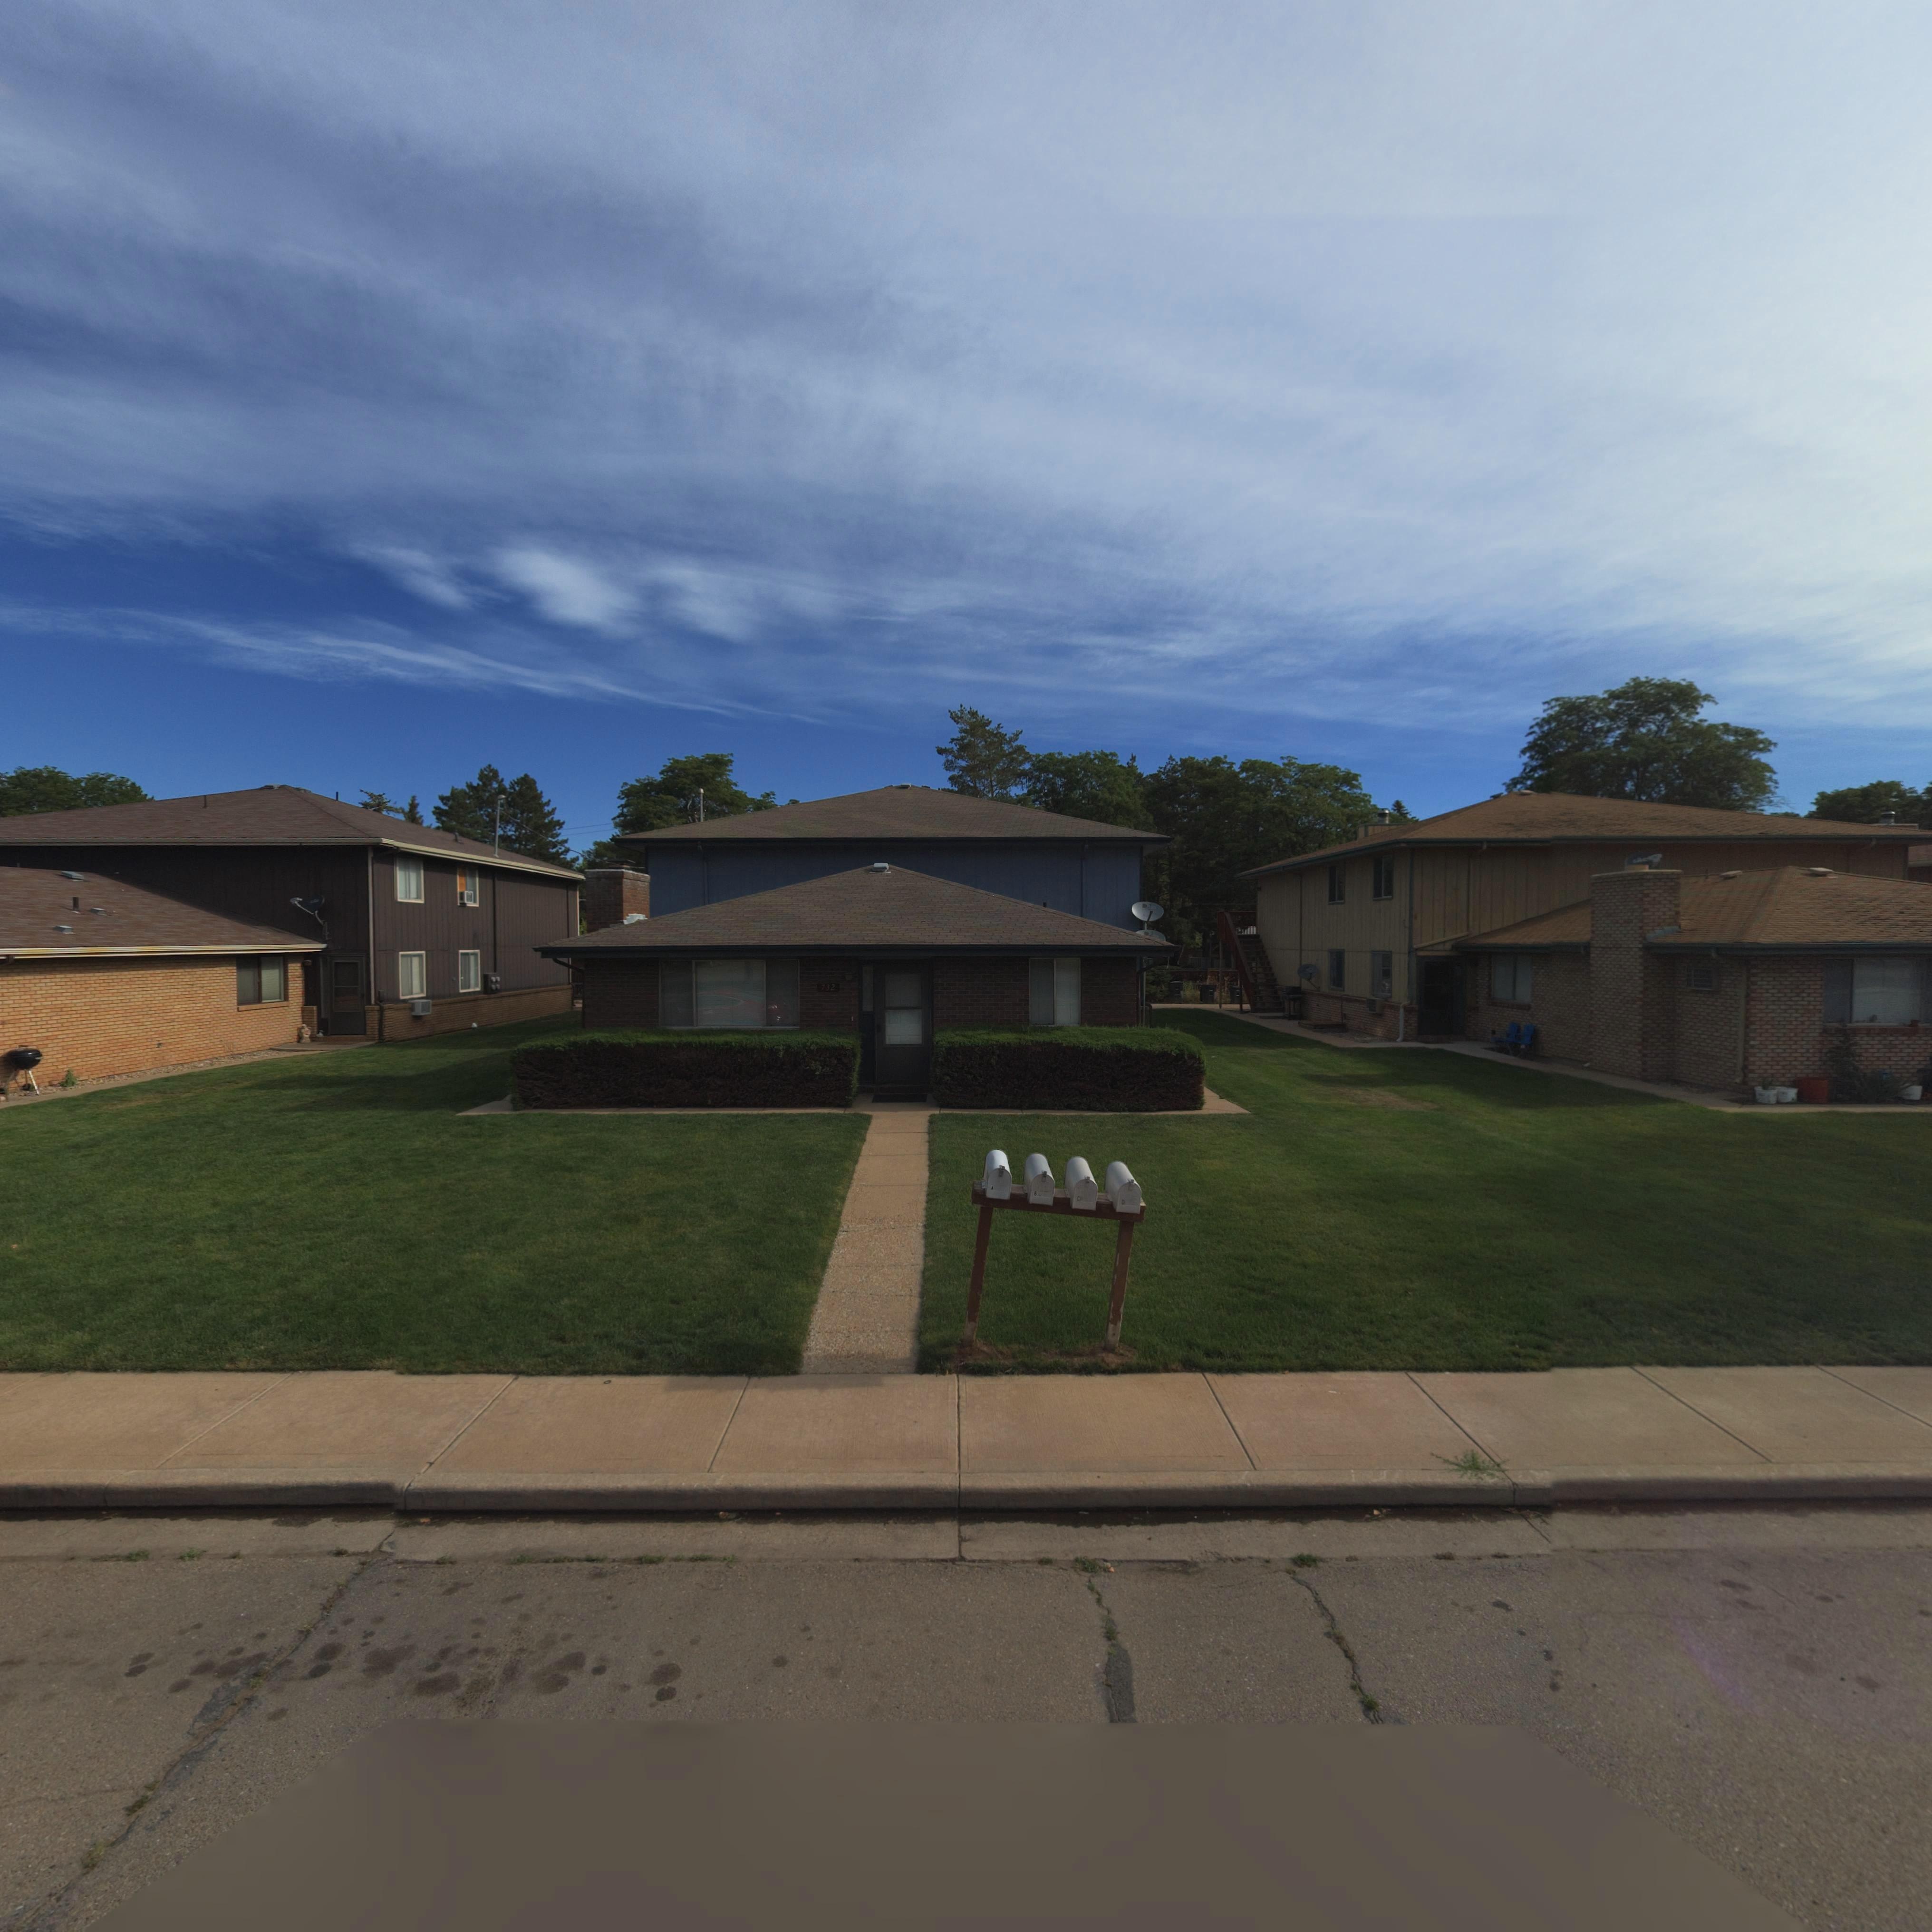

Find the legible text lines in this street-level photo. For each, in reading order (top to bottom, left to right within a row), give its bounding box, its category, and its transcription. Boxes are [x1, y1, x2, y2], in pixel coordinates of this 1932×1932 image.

[821, 983, 836, 991] StreetNumber: 732